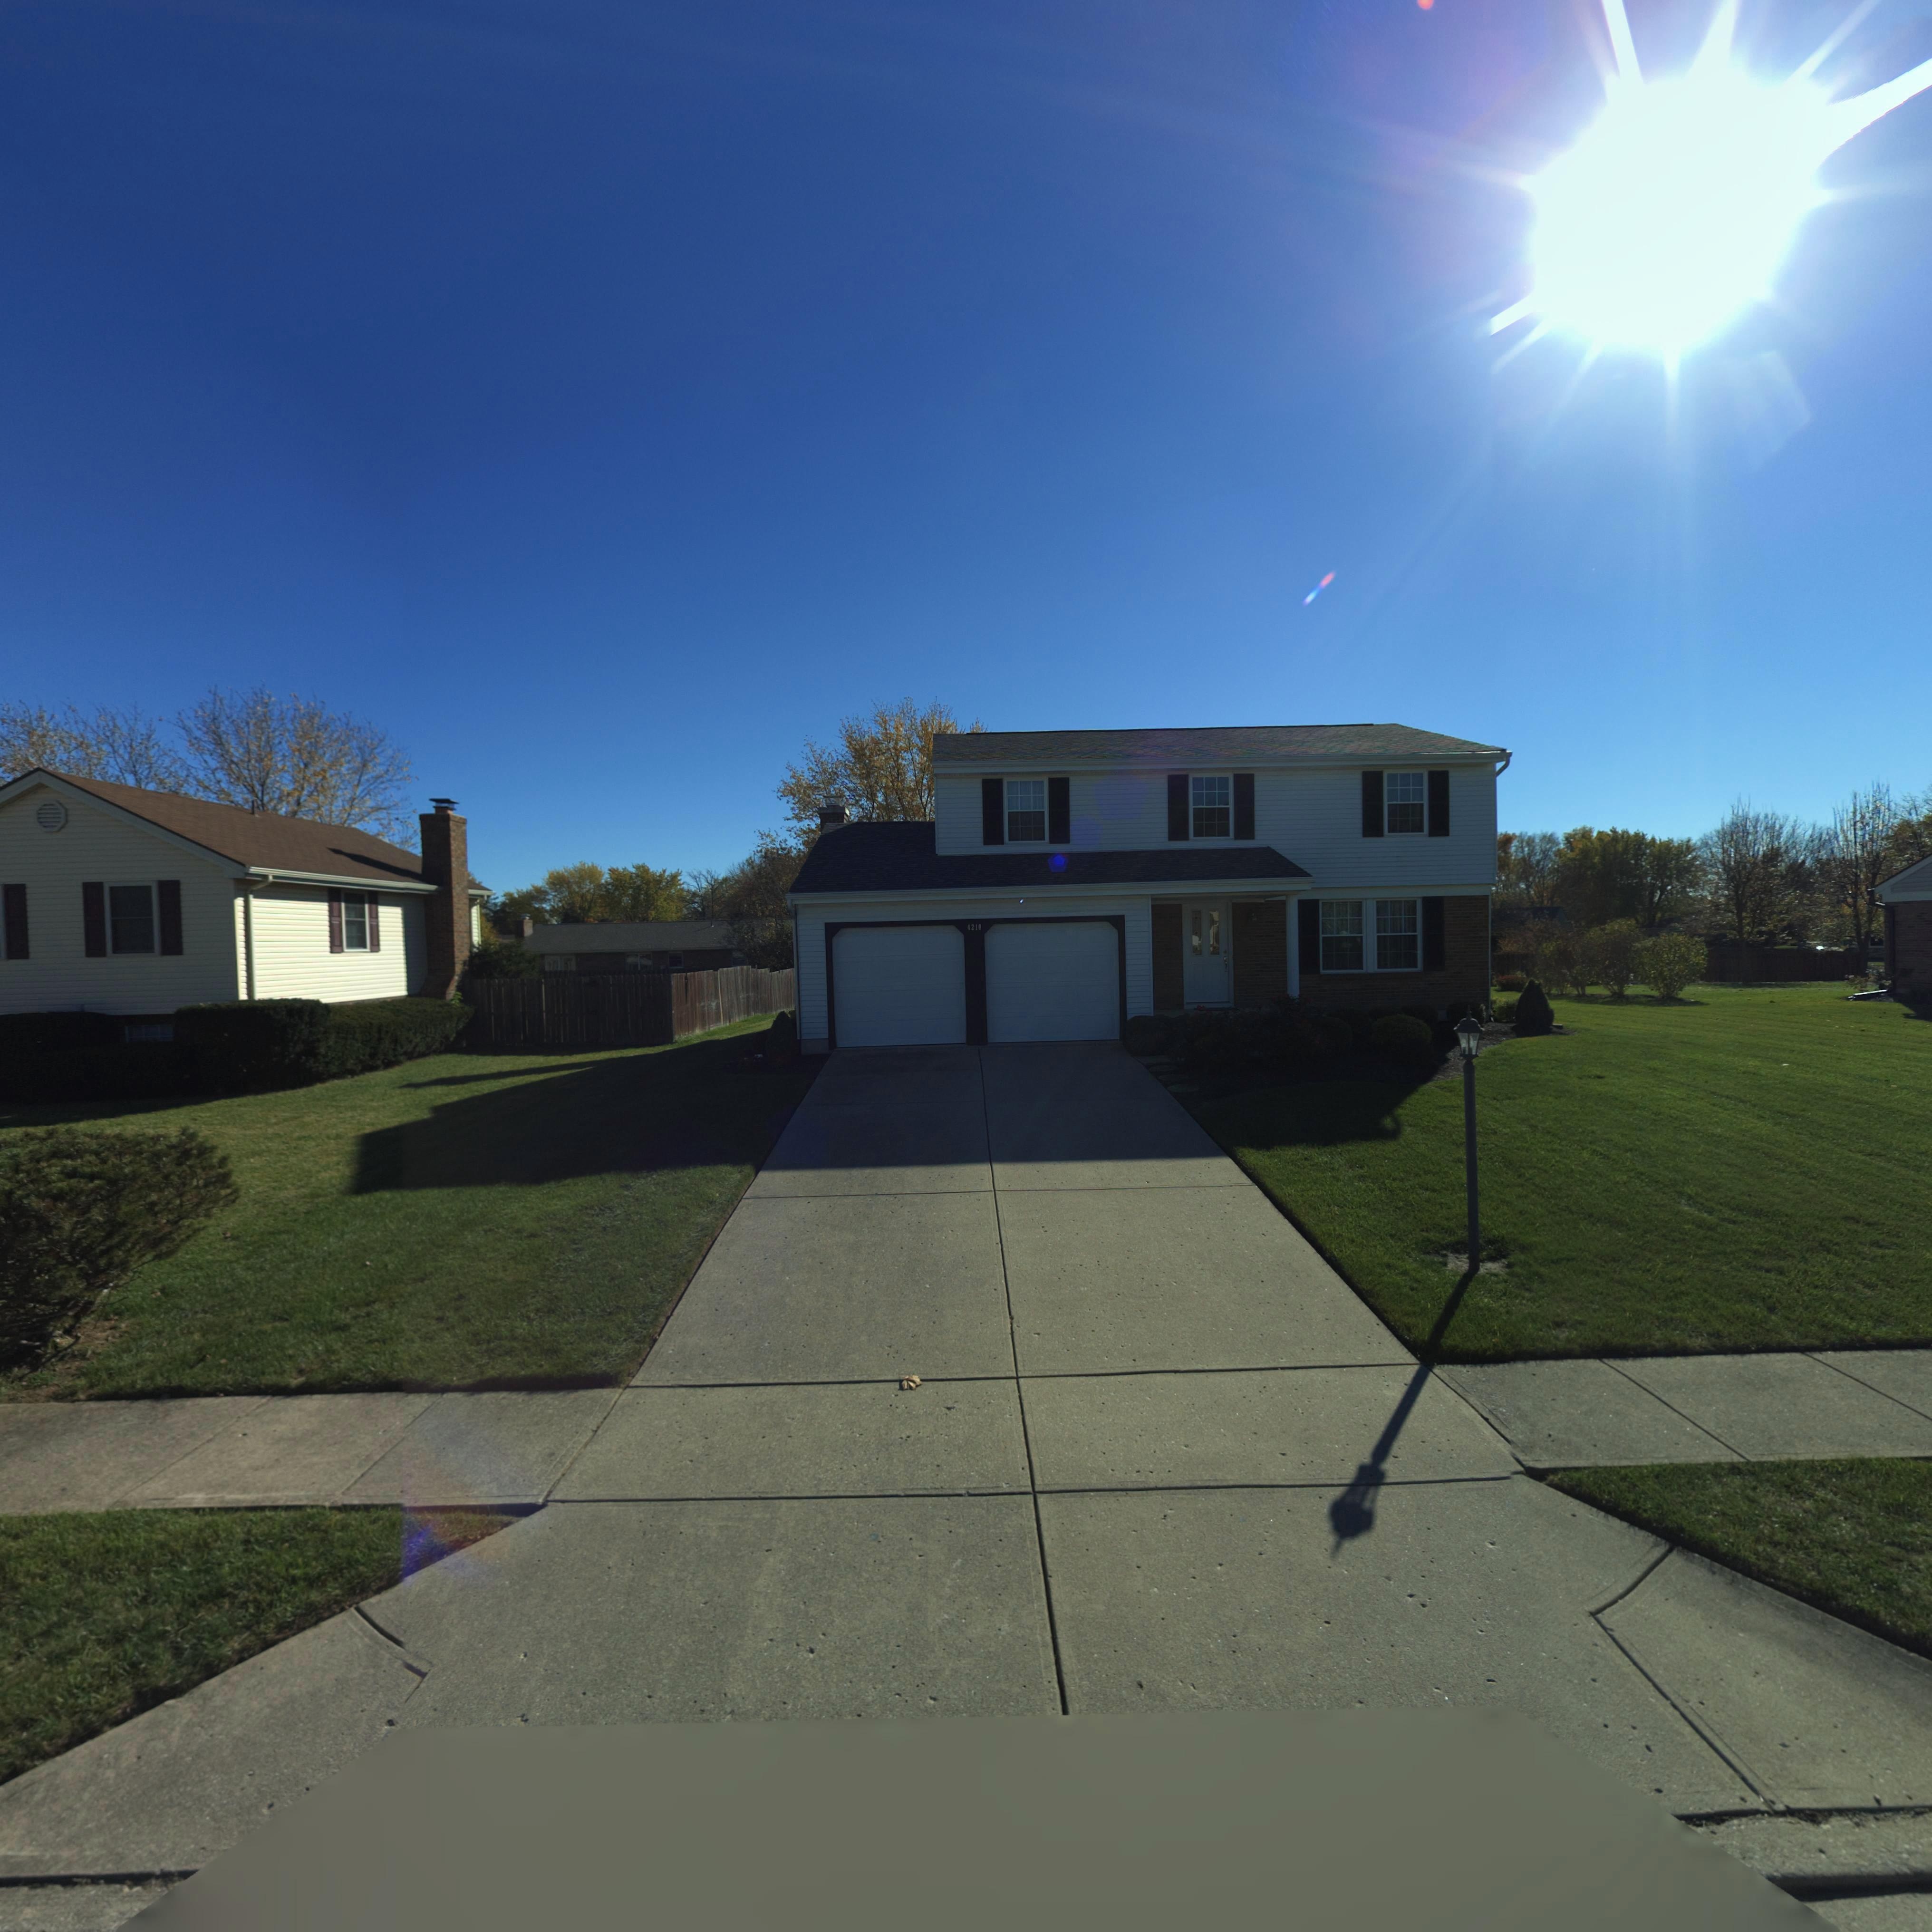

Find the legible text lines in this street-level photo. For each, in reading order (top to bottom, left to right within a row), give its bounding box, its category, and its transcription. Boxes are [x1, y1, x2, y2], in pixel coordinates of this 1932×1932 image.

[966, 922, 983, 932] StreetNumber: 4210